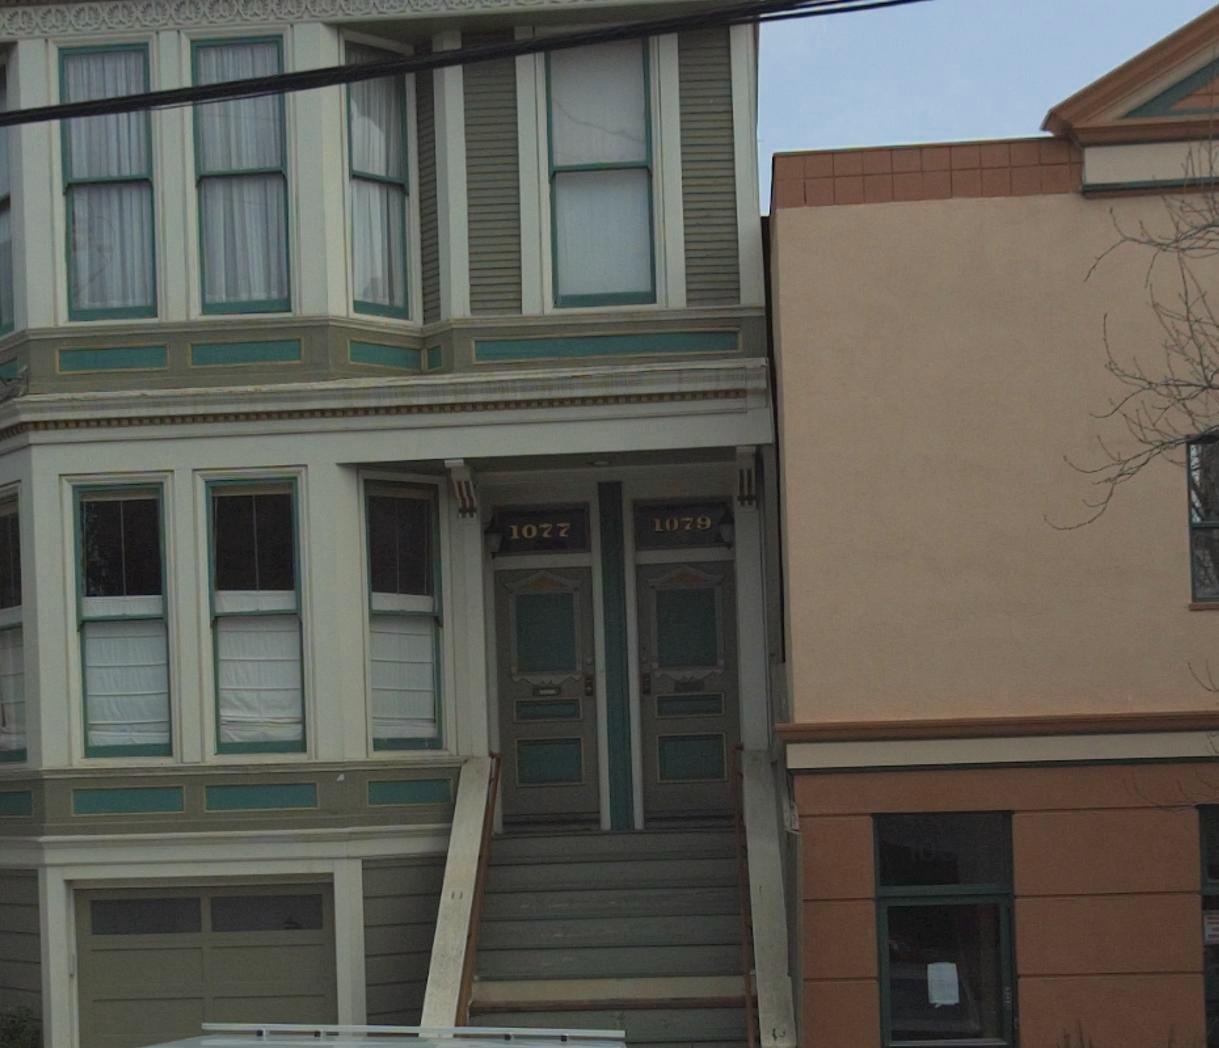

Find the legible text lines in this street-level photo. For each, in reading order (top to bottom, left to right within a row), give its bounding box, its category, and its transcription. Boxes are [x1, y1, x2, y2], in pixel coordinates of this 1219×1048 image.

[507, 521, 573, 540] StreetNumber: 1077
[652, 514, 714, 532] StreetNumber: 1079